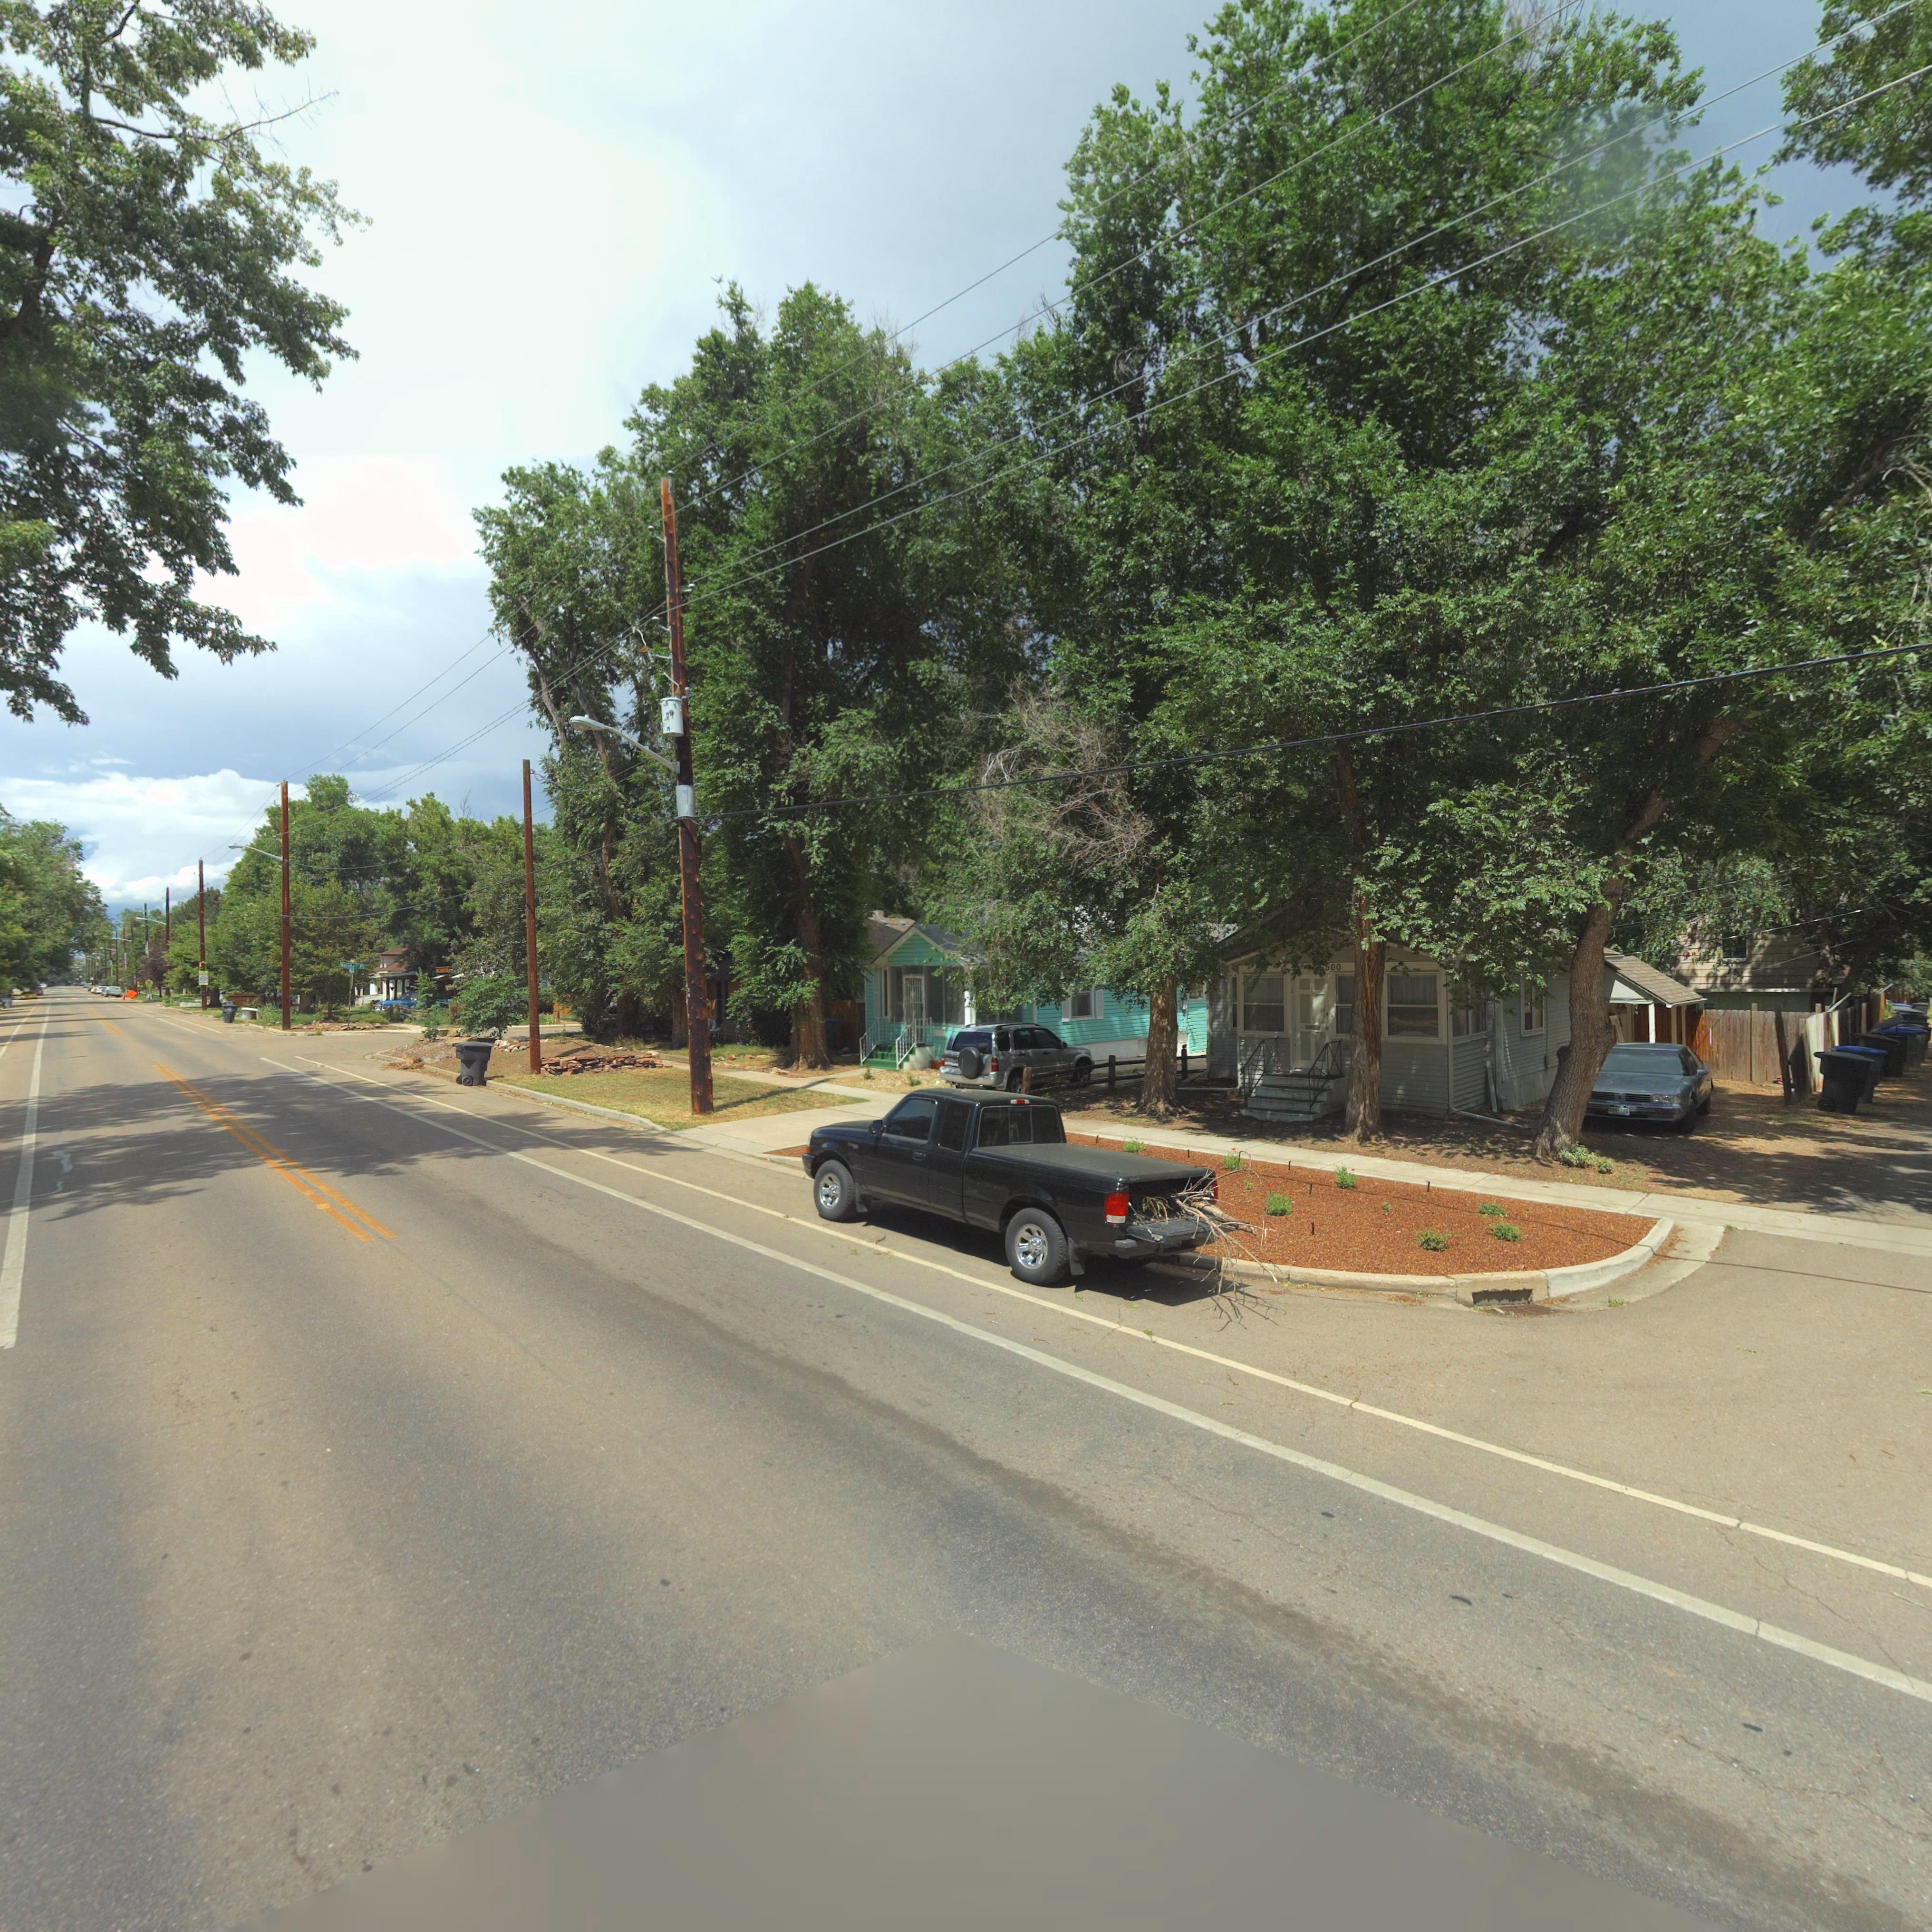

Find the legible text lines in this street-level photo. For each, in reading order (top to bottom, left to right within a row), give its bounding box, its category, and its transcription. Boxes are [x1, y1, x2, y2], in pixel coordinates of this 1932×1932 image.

[1325, 963, 1341, 971] StreetNumber: 500